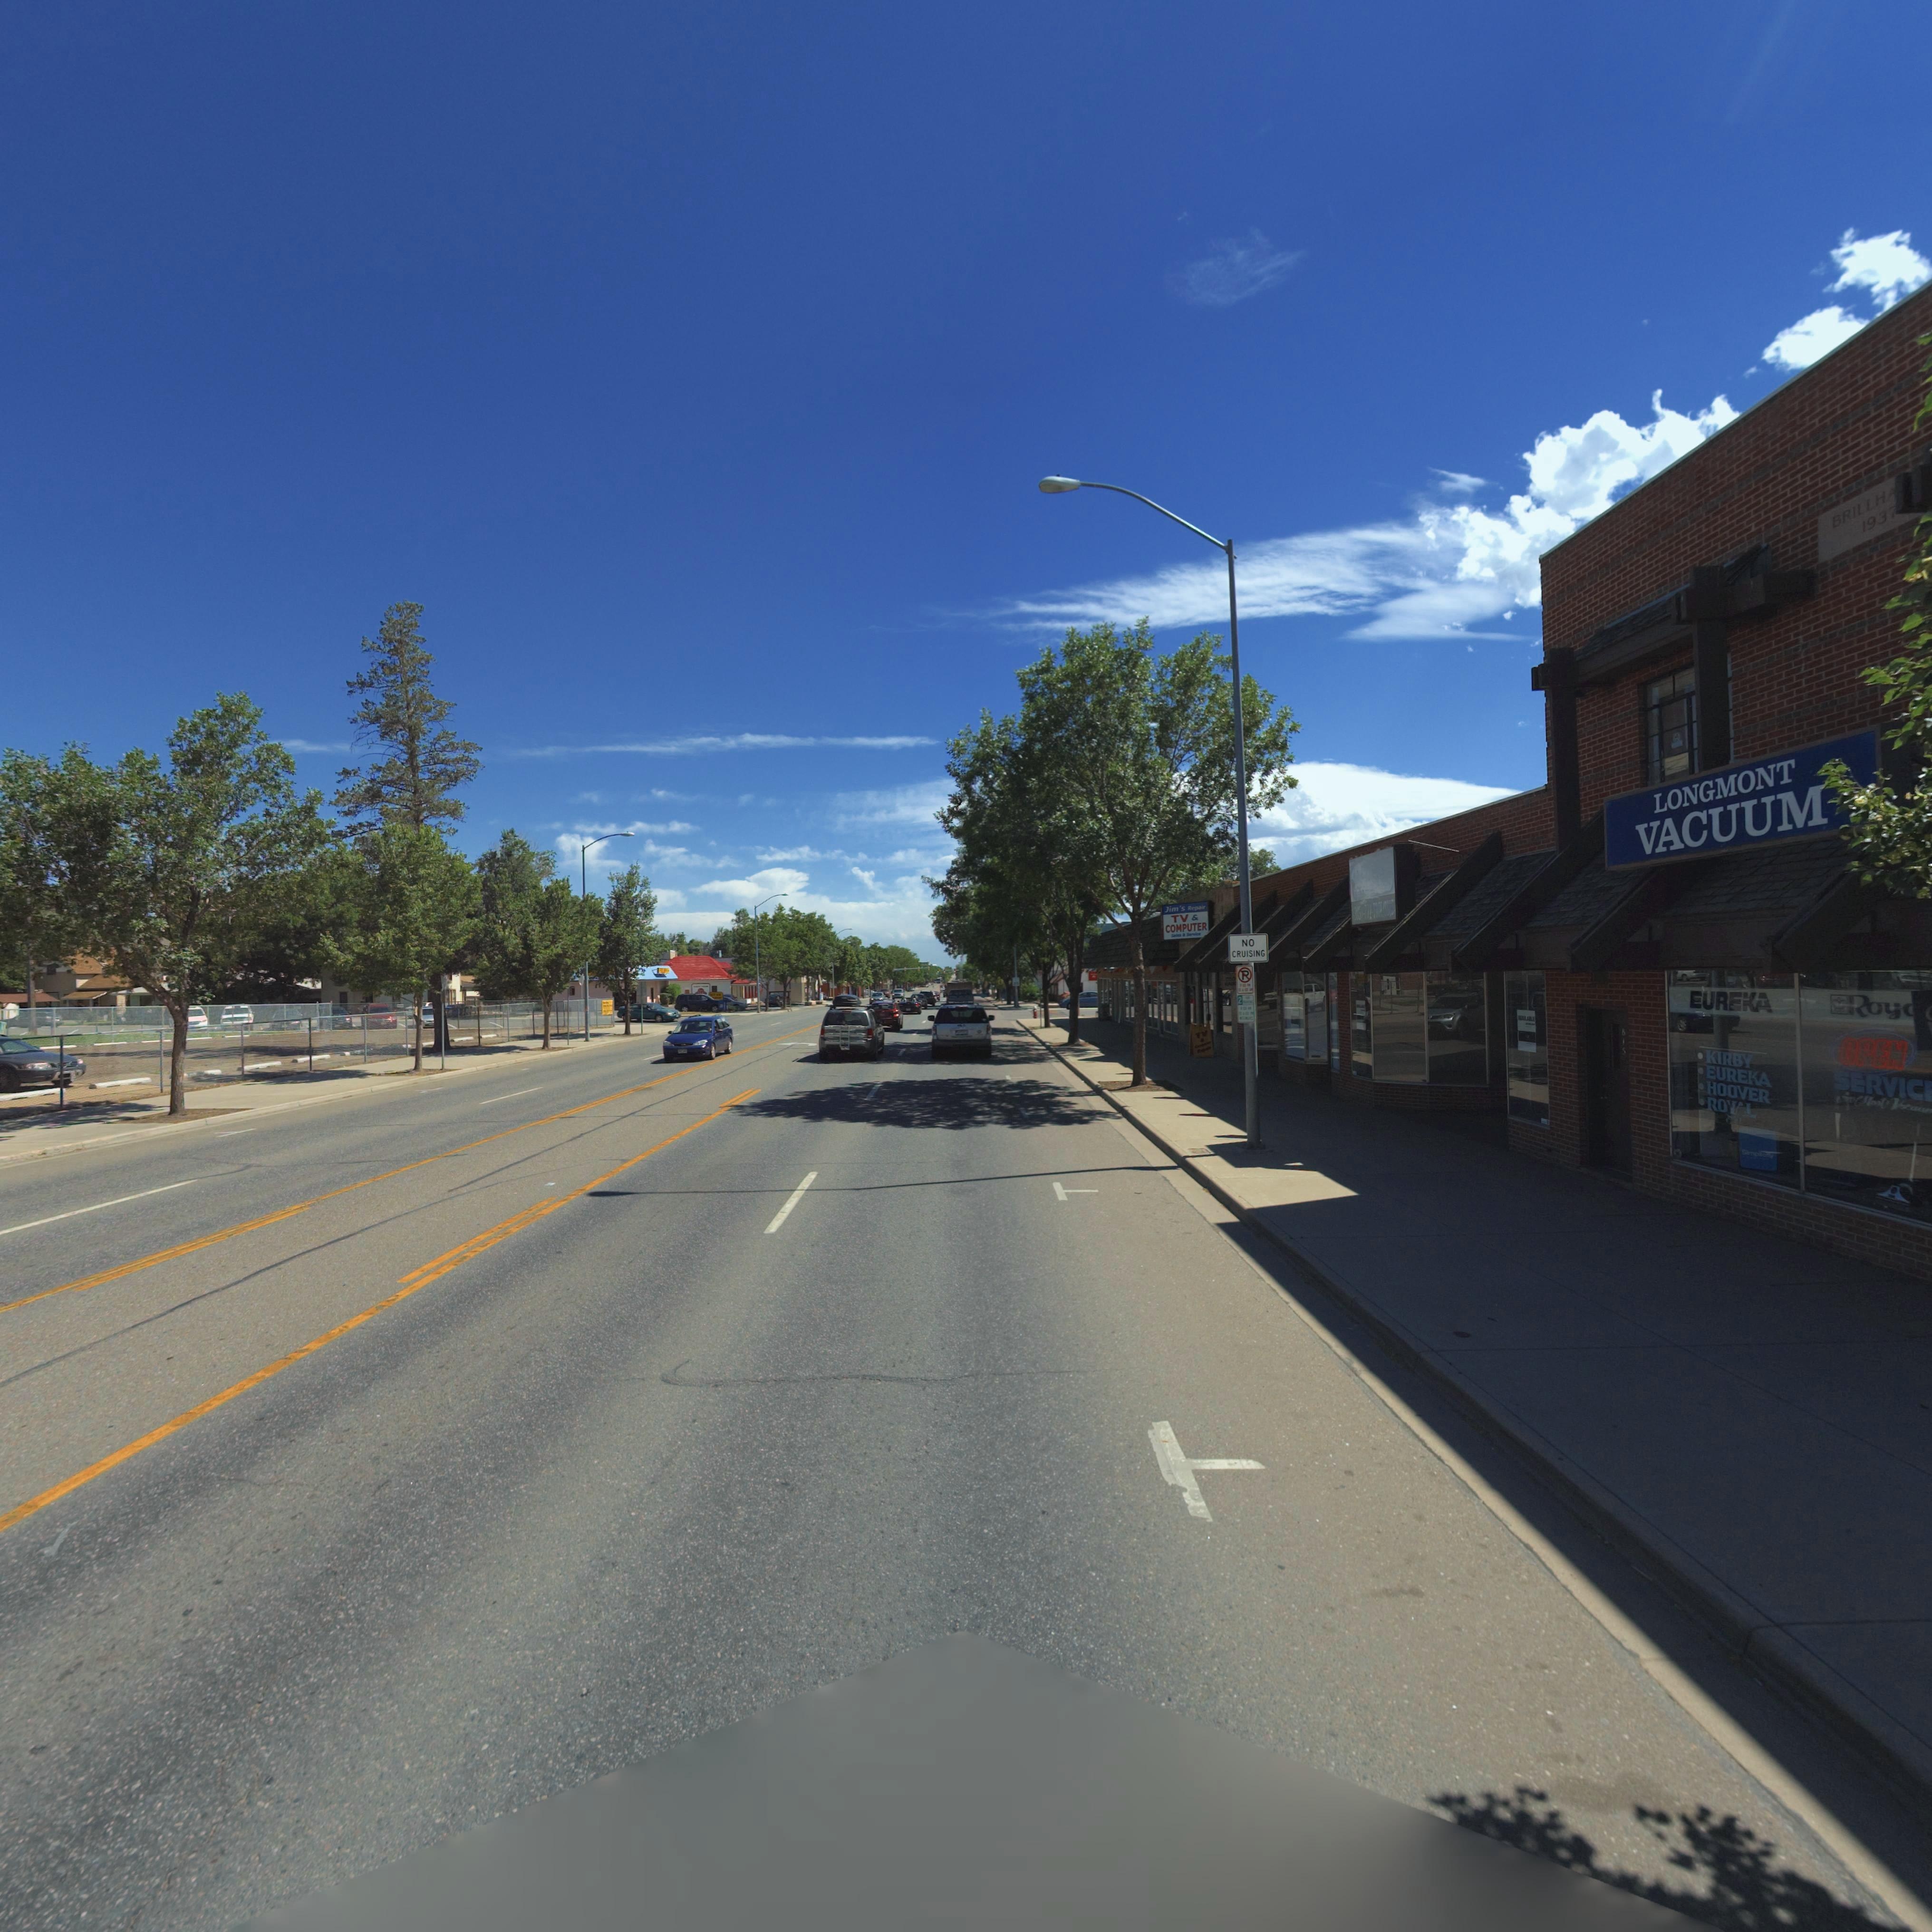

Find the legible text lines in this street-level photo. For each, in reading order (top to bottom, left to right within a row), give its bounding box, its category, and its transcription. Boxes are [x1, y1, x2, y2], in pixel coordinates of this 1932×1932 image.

[1652, 757, 1797, 815] BusinessName: LONGMONT
[1634, 782, 1829, 855] BusinessName: VACUUM
[1164, 905, 1206, 913] BusinessName: Jim's Repair
[1621, 1028, 1626, 1055] StreetNumber: 815